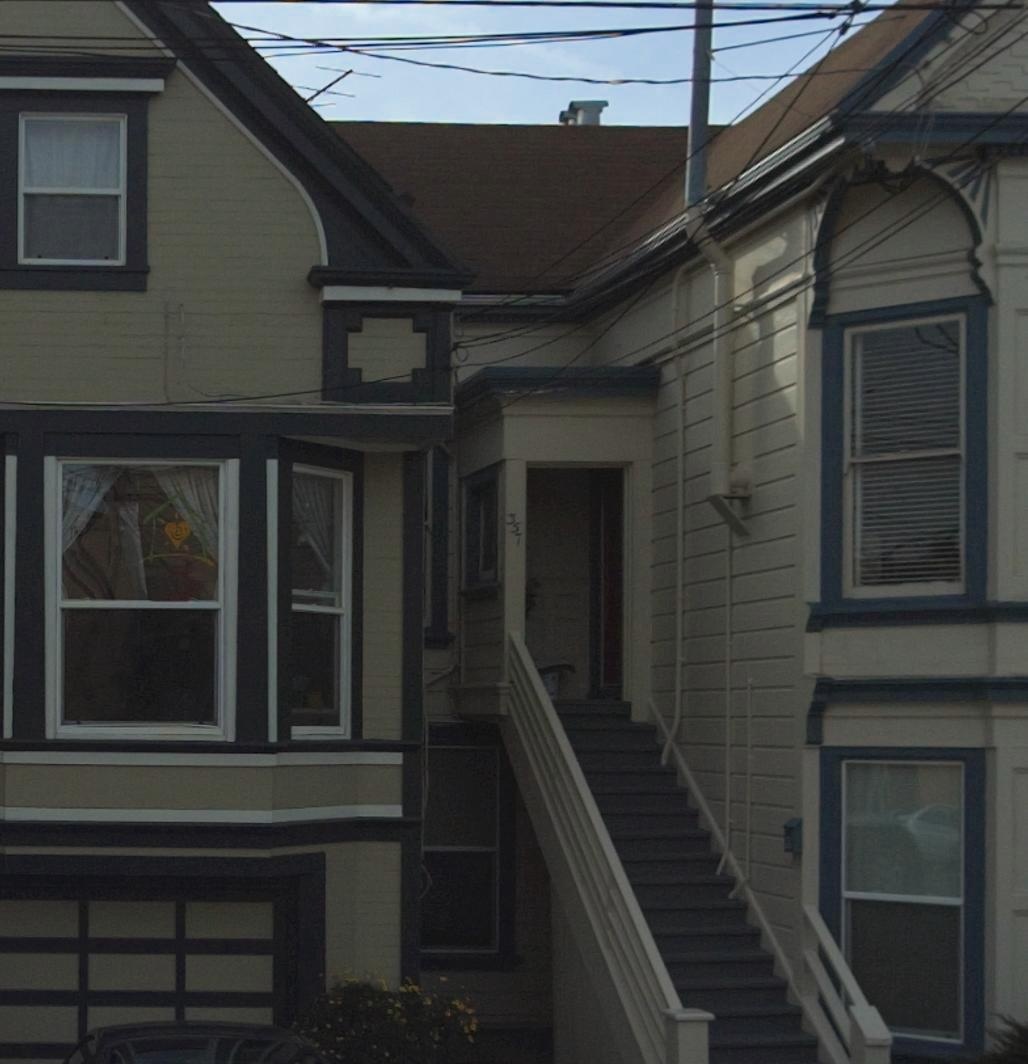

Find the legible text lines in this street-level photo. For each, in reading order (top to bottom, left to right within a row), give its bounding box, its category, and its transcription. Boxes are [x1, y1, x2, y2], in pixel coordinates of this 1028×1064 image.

[504, 512, 524, 547] StreetNumber: 357